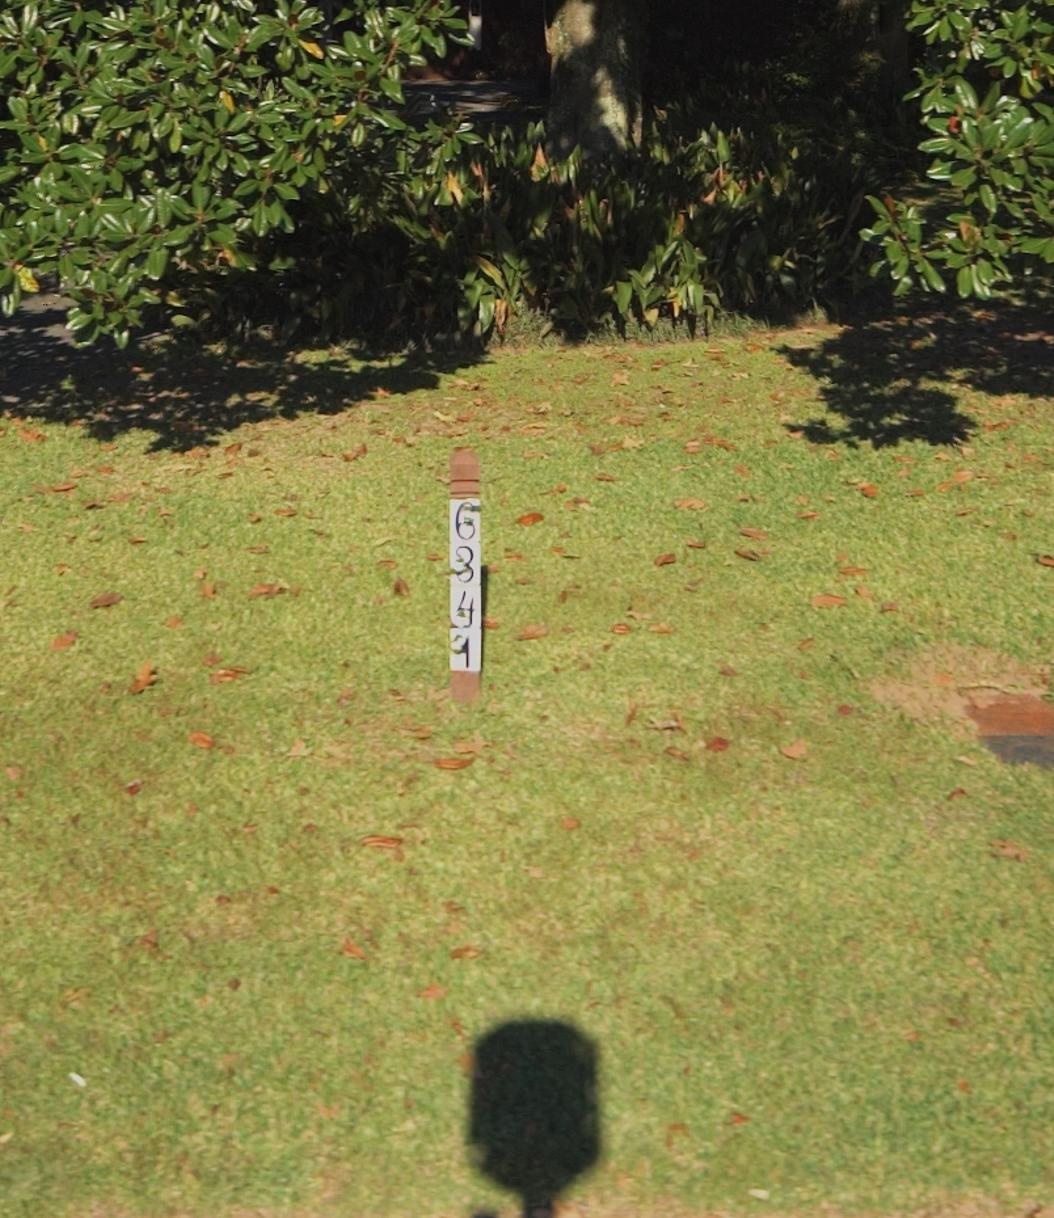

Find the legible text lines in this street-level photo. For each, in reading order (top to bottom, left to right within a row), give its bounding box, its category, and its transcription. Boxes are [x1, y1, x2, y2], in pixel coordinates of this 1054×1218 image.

[450, 499, 476, 669] StreetNumber: 6349